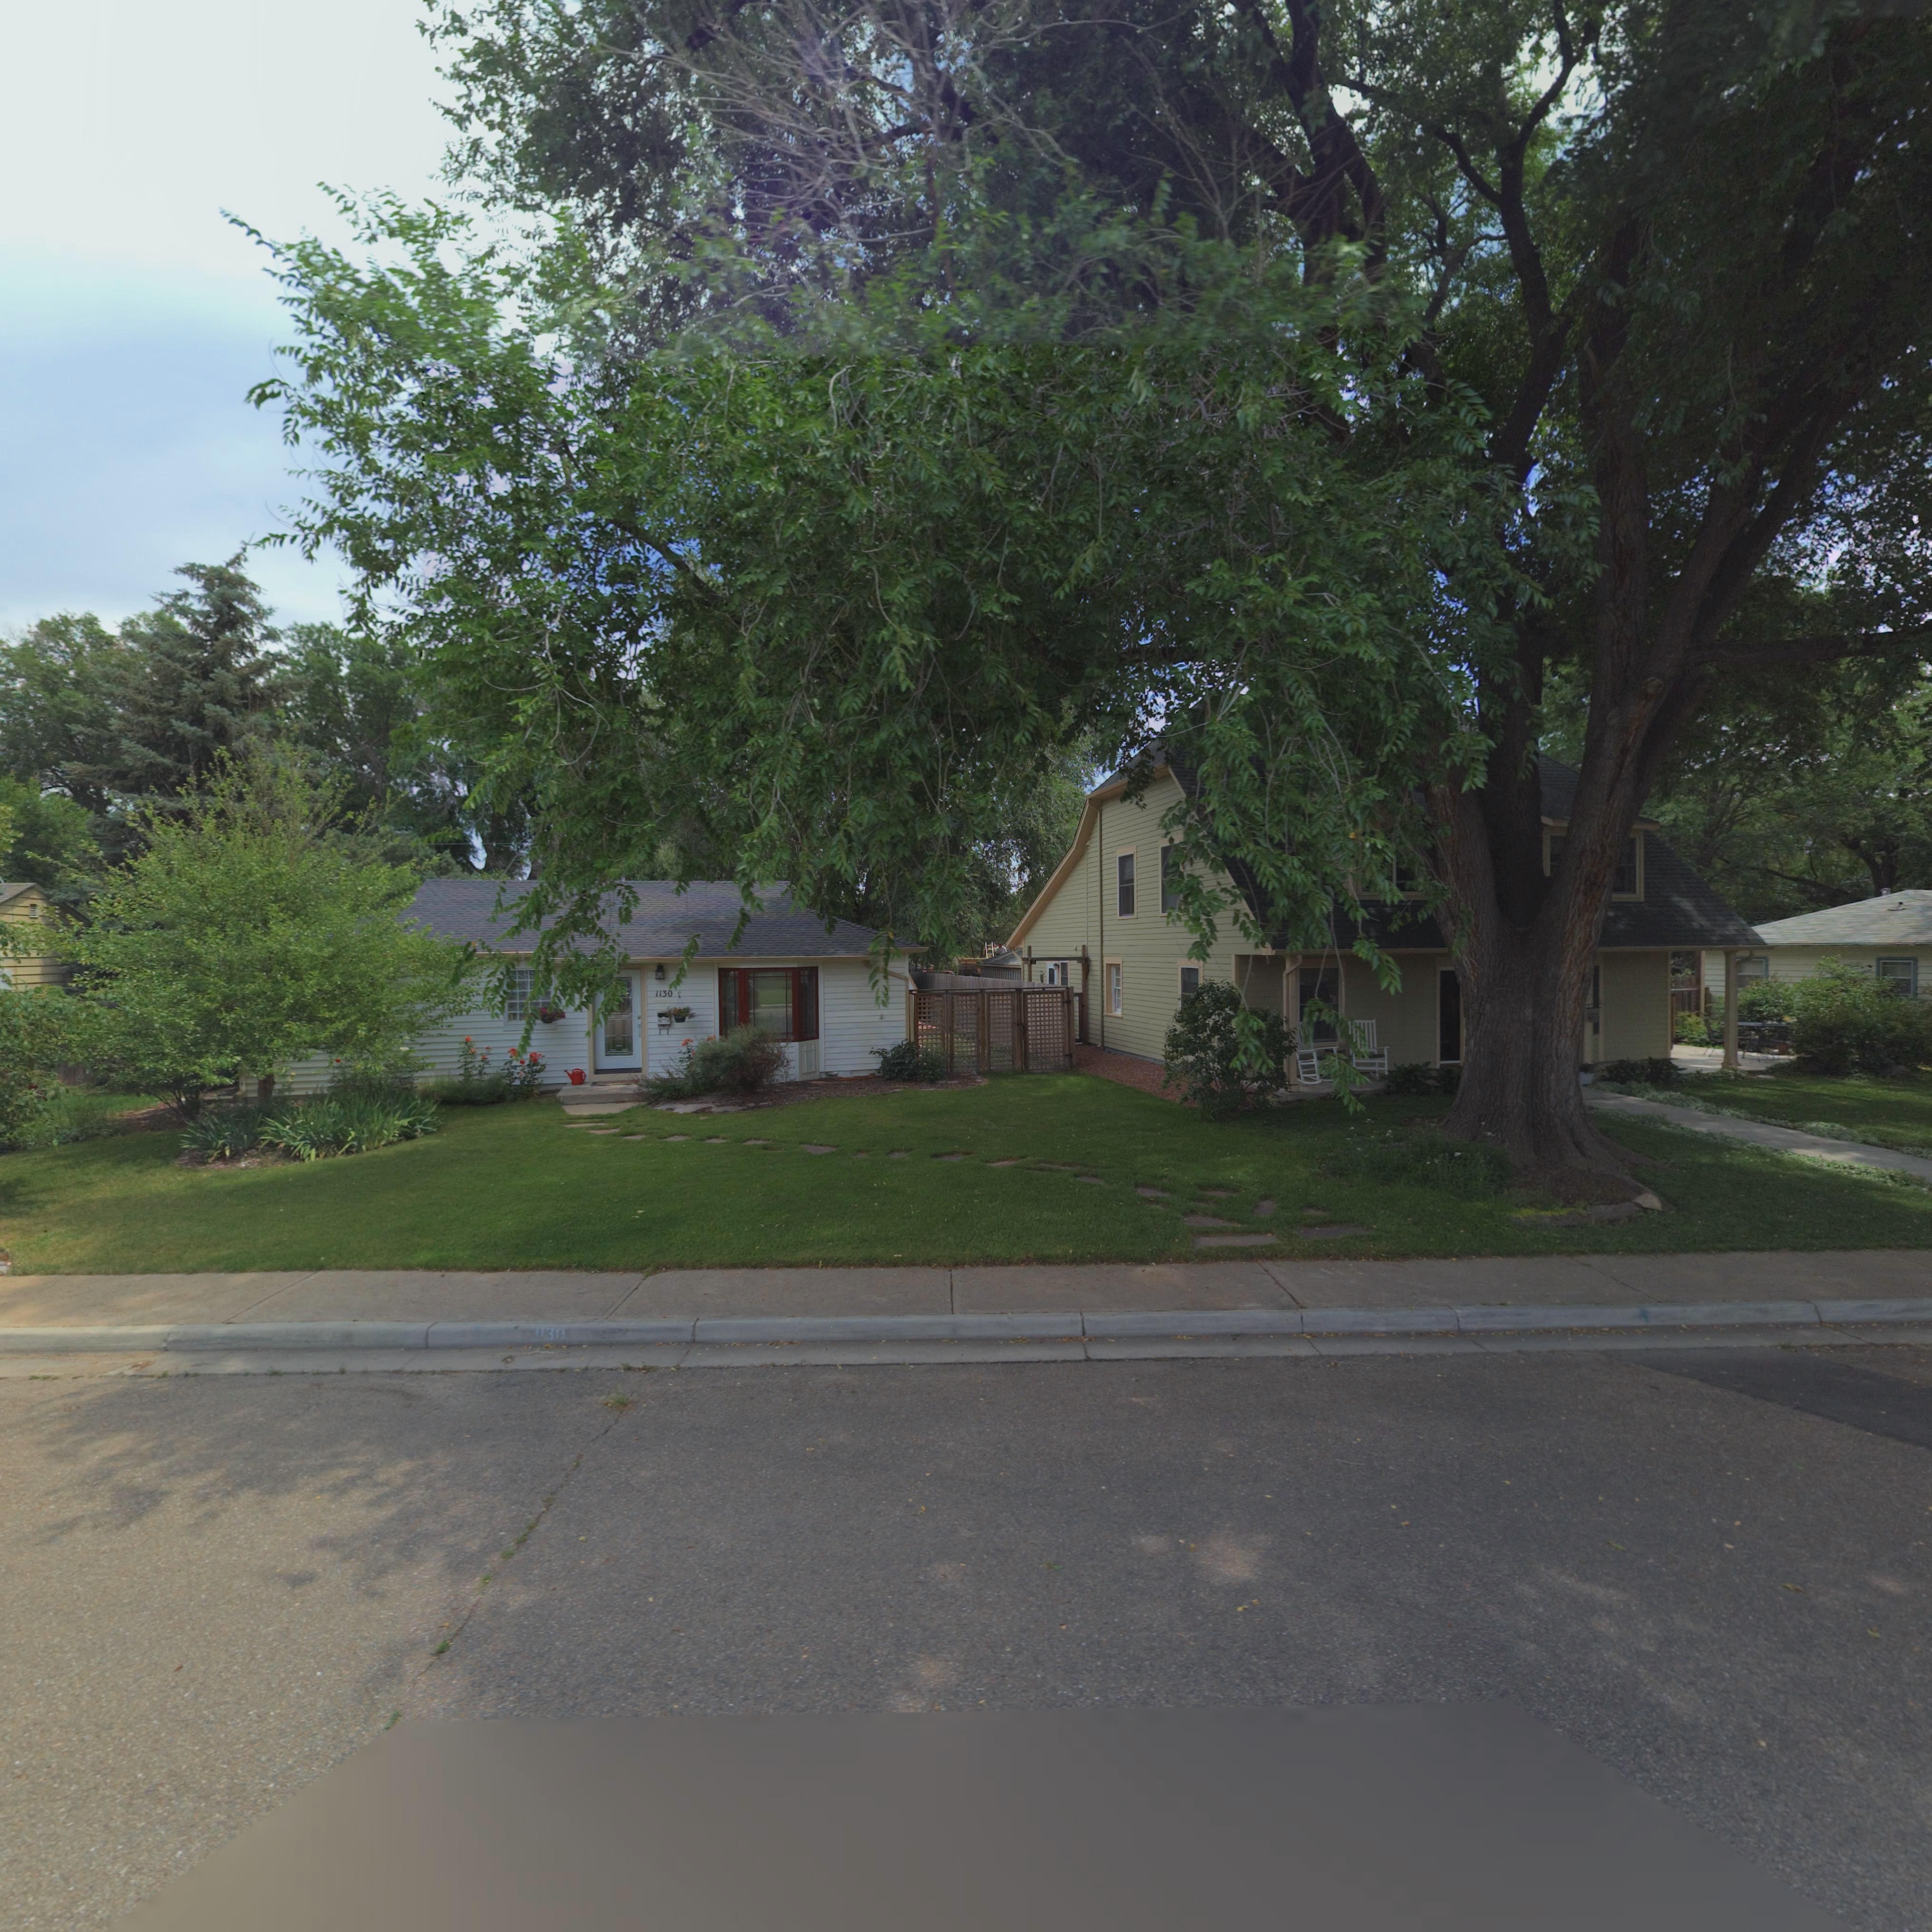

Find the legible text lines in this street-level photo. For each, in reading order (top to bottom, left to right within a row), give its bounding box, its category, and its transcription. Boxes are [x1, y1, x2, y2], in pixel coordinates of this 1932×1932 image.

[656, 989, 673, 997] StreetNumber: 1130